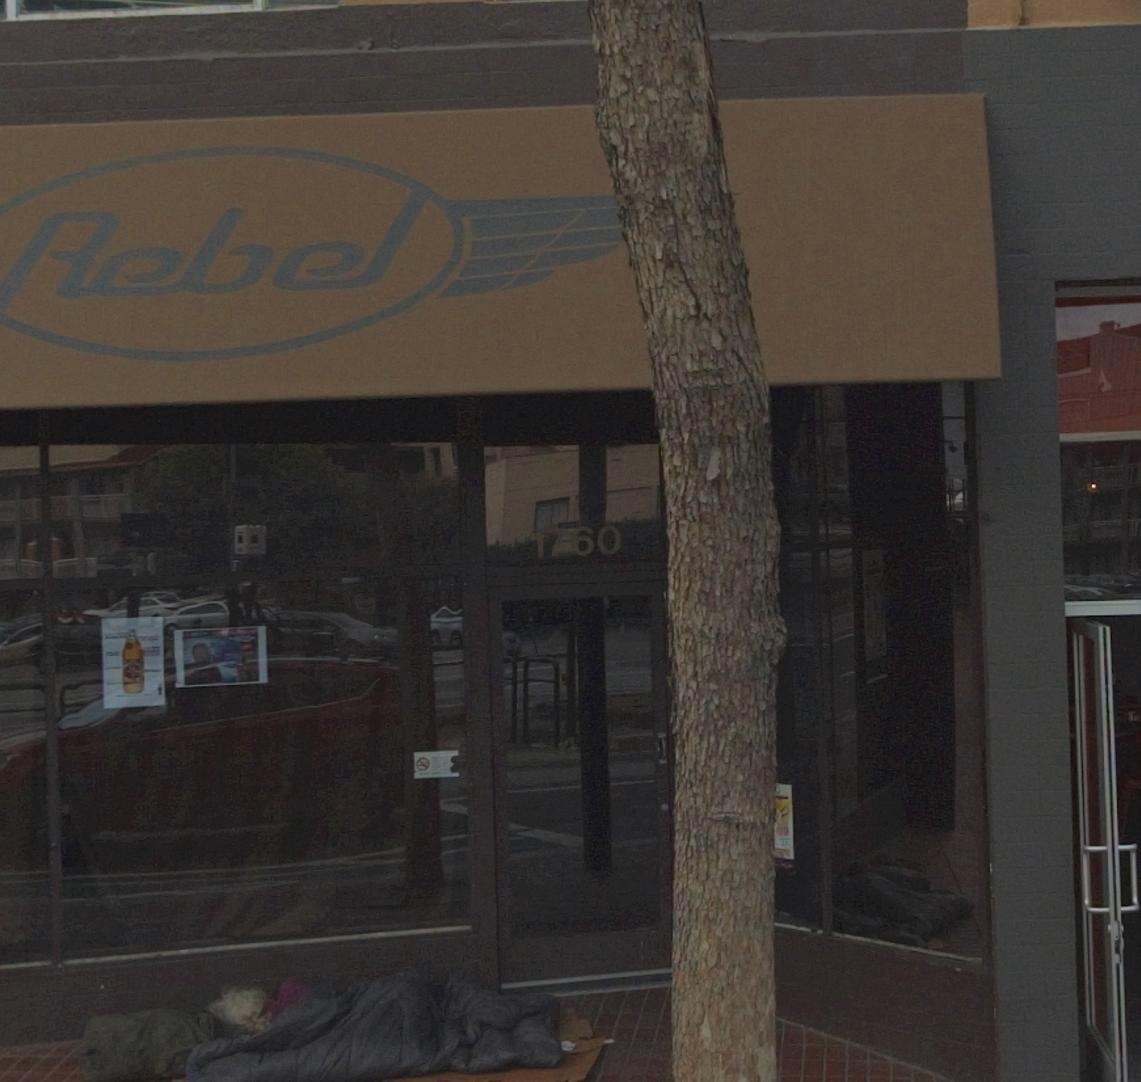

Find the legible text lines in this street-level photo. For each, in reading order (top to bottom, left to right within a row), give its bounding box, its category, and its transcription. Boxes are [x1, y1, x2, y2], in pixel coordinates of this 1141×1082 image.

[0, 184, 444, 304] BusinessName: Rebel
[526, 523, 624, 558] StreetNumber: 1760